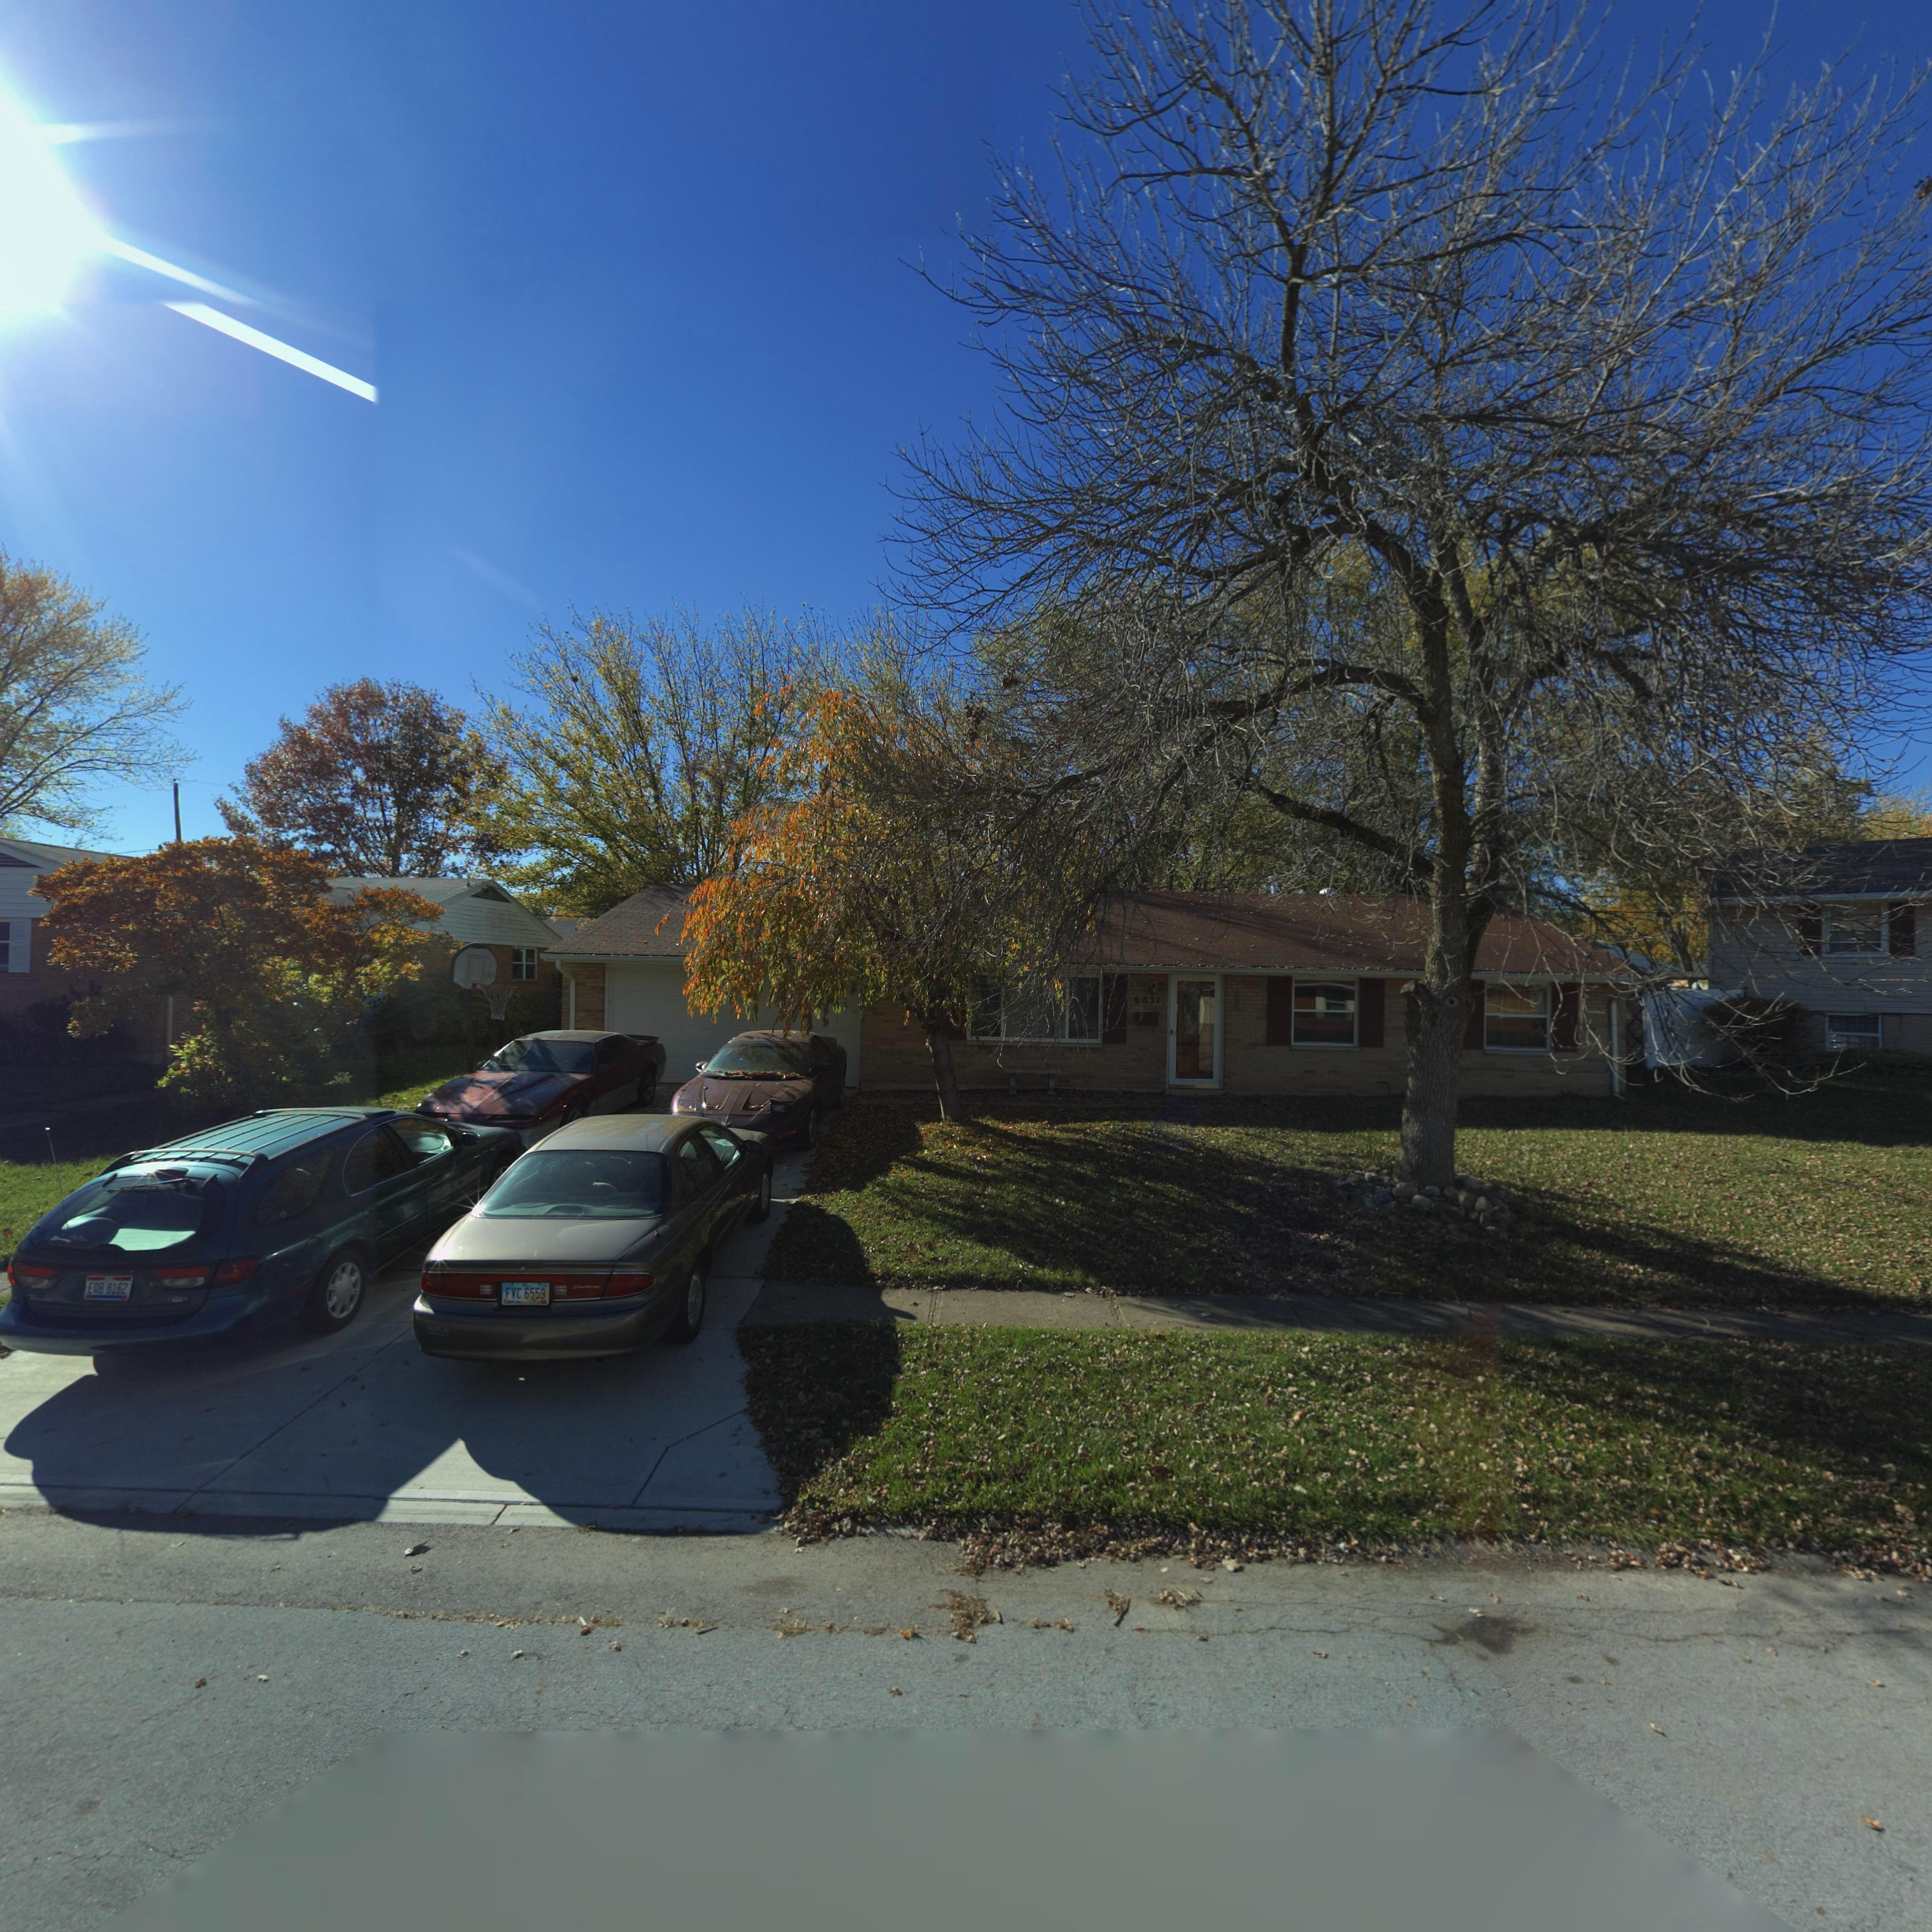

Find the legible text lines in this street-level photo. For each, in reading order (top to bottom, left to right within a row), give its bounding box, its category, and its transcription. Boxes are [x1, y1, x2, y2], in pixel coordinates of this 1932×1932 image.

[1134, 995, 1161, 1004] StreetNumber: 6831